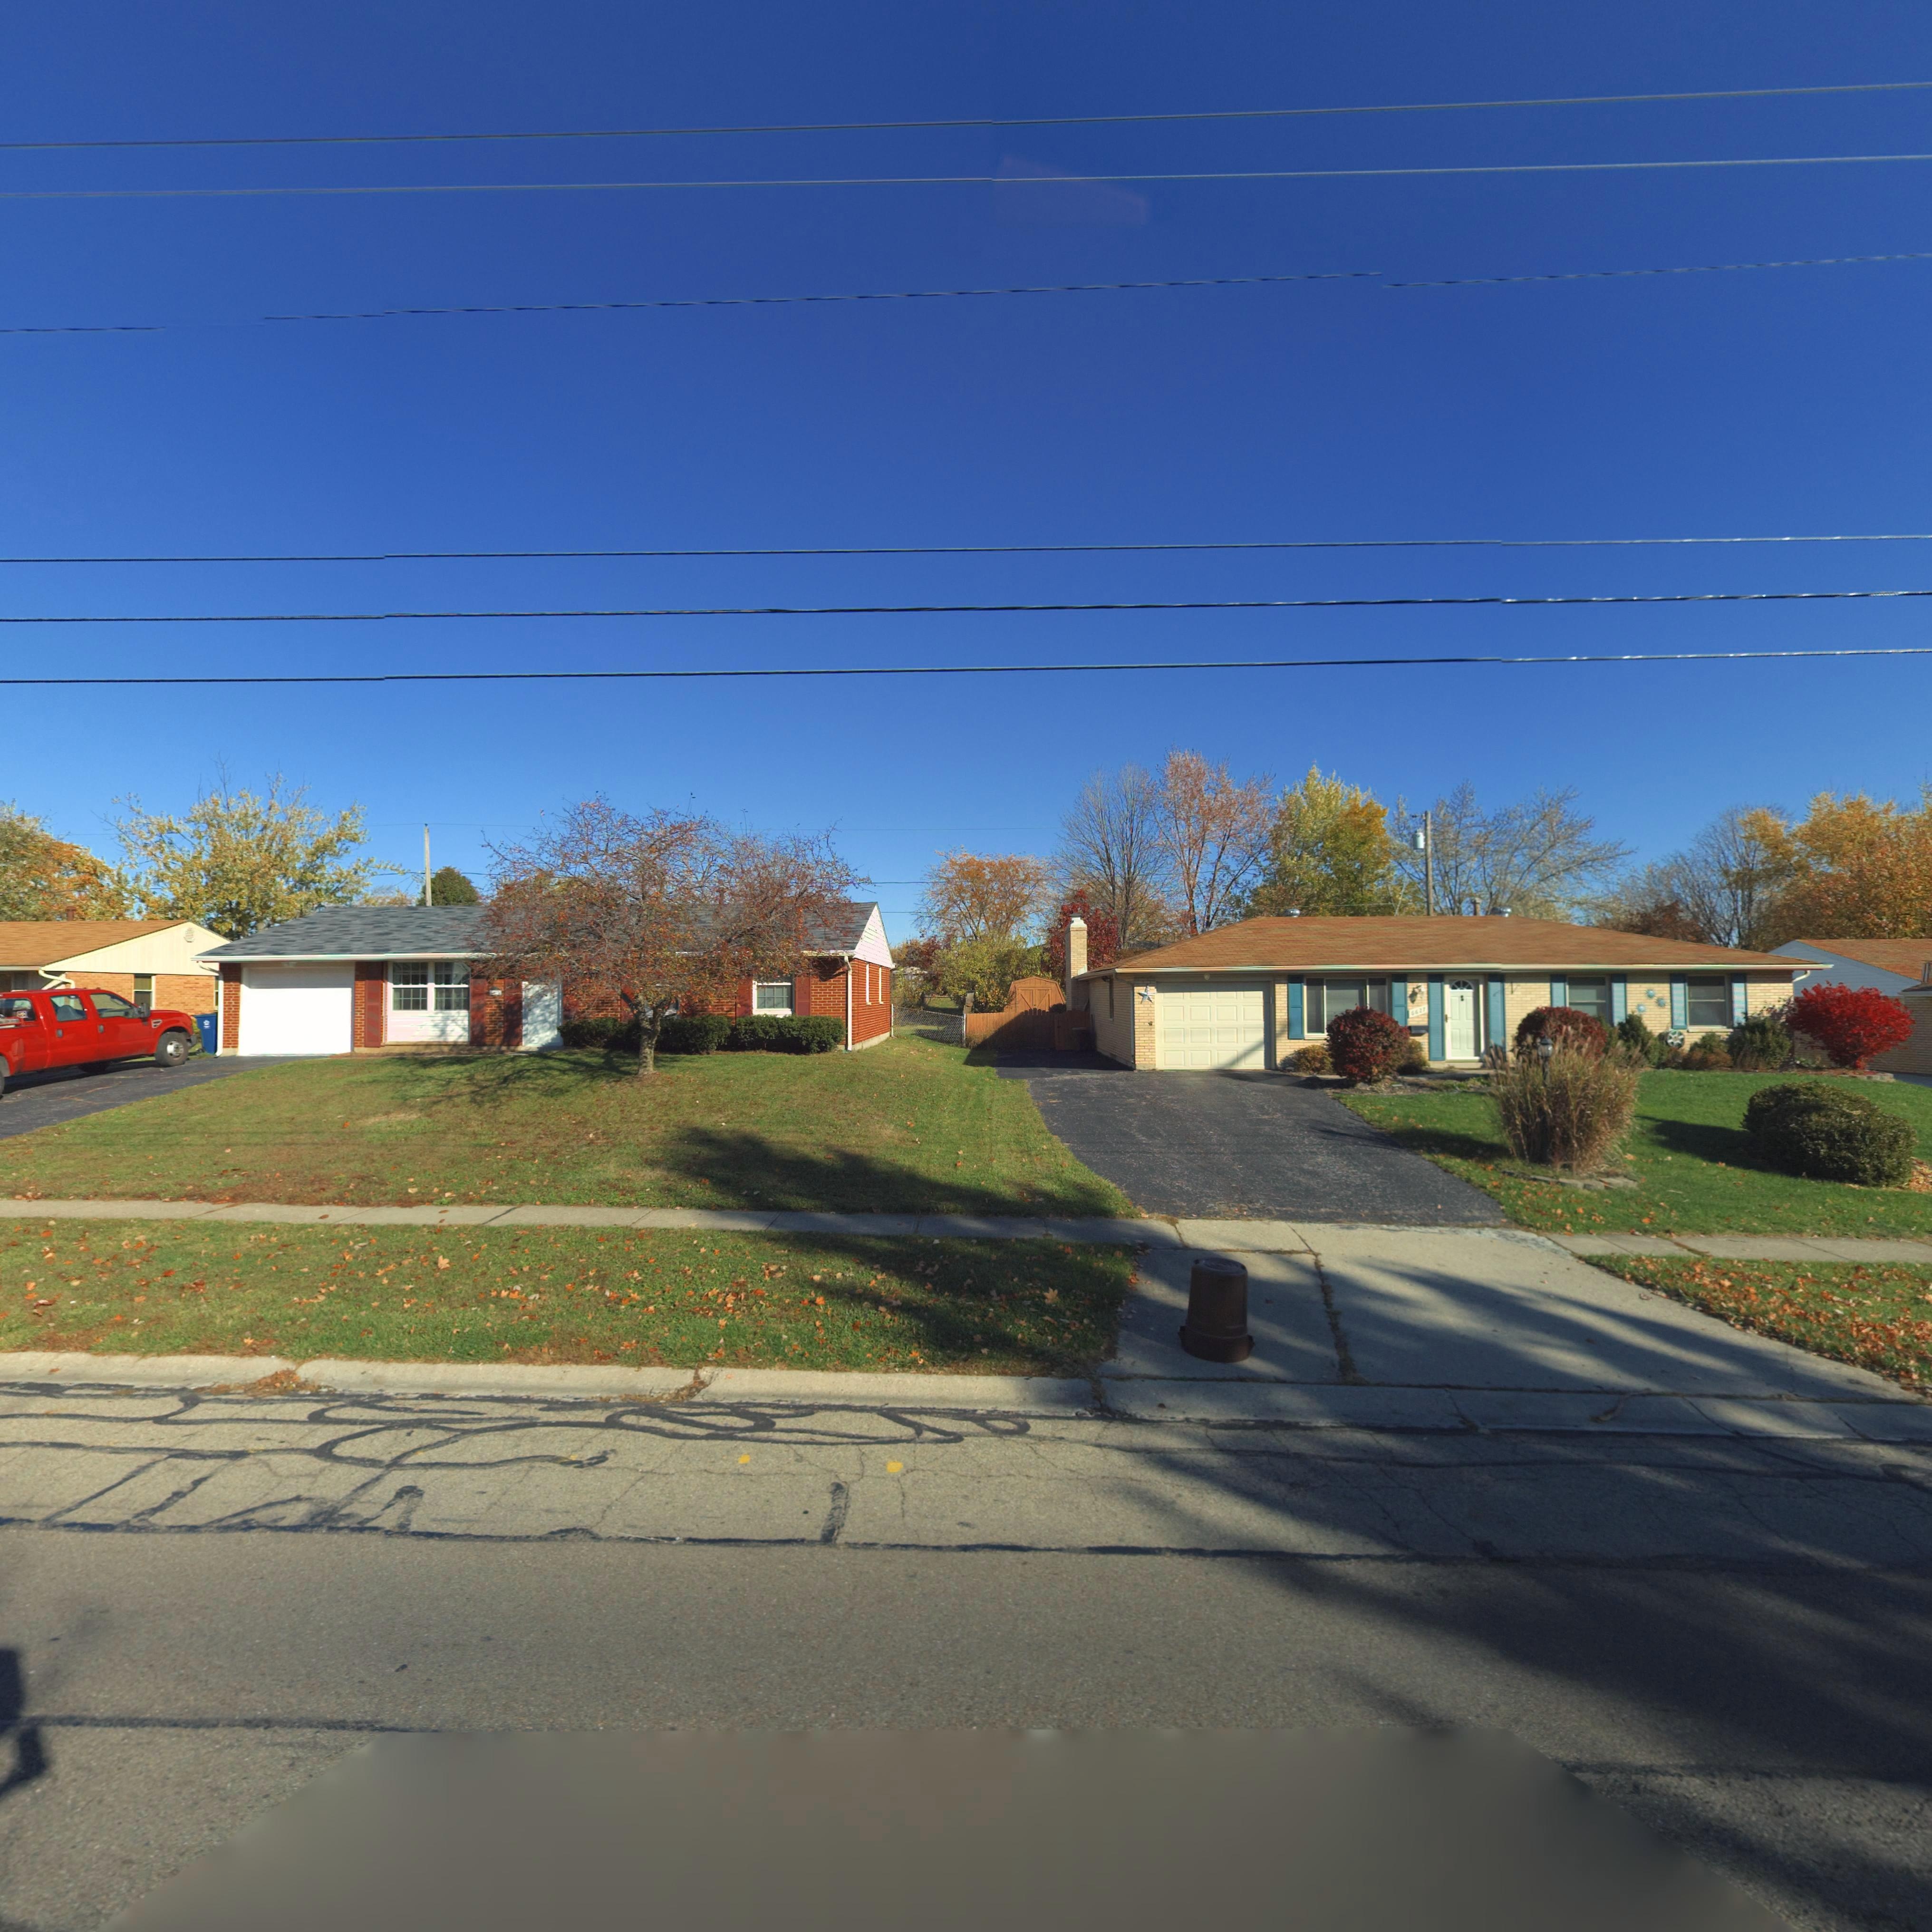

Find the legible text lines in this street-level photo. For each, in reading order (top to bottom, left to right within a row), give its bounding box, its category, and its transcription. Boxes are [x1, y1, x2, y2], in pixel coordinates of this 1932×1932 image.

[1410, 1005, 1427, 1017] StreetNumber: 6627